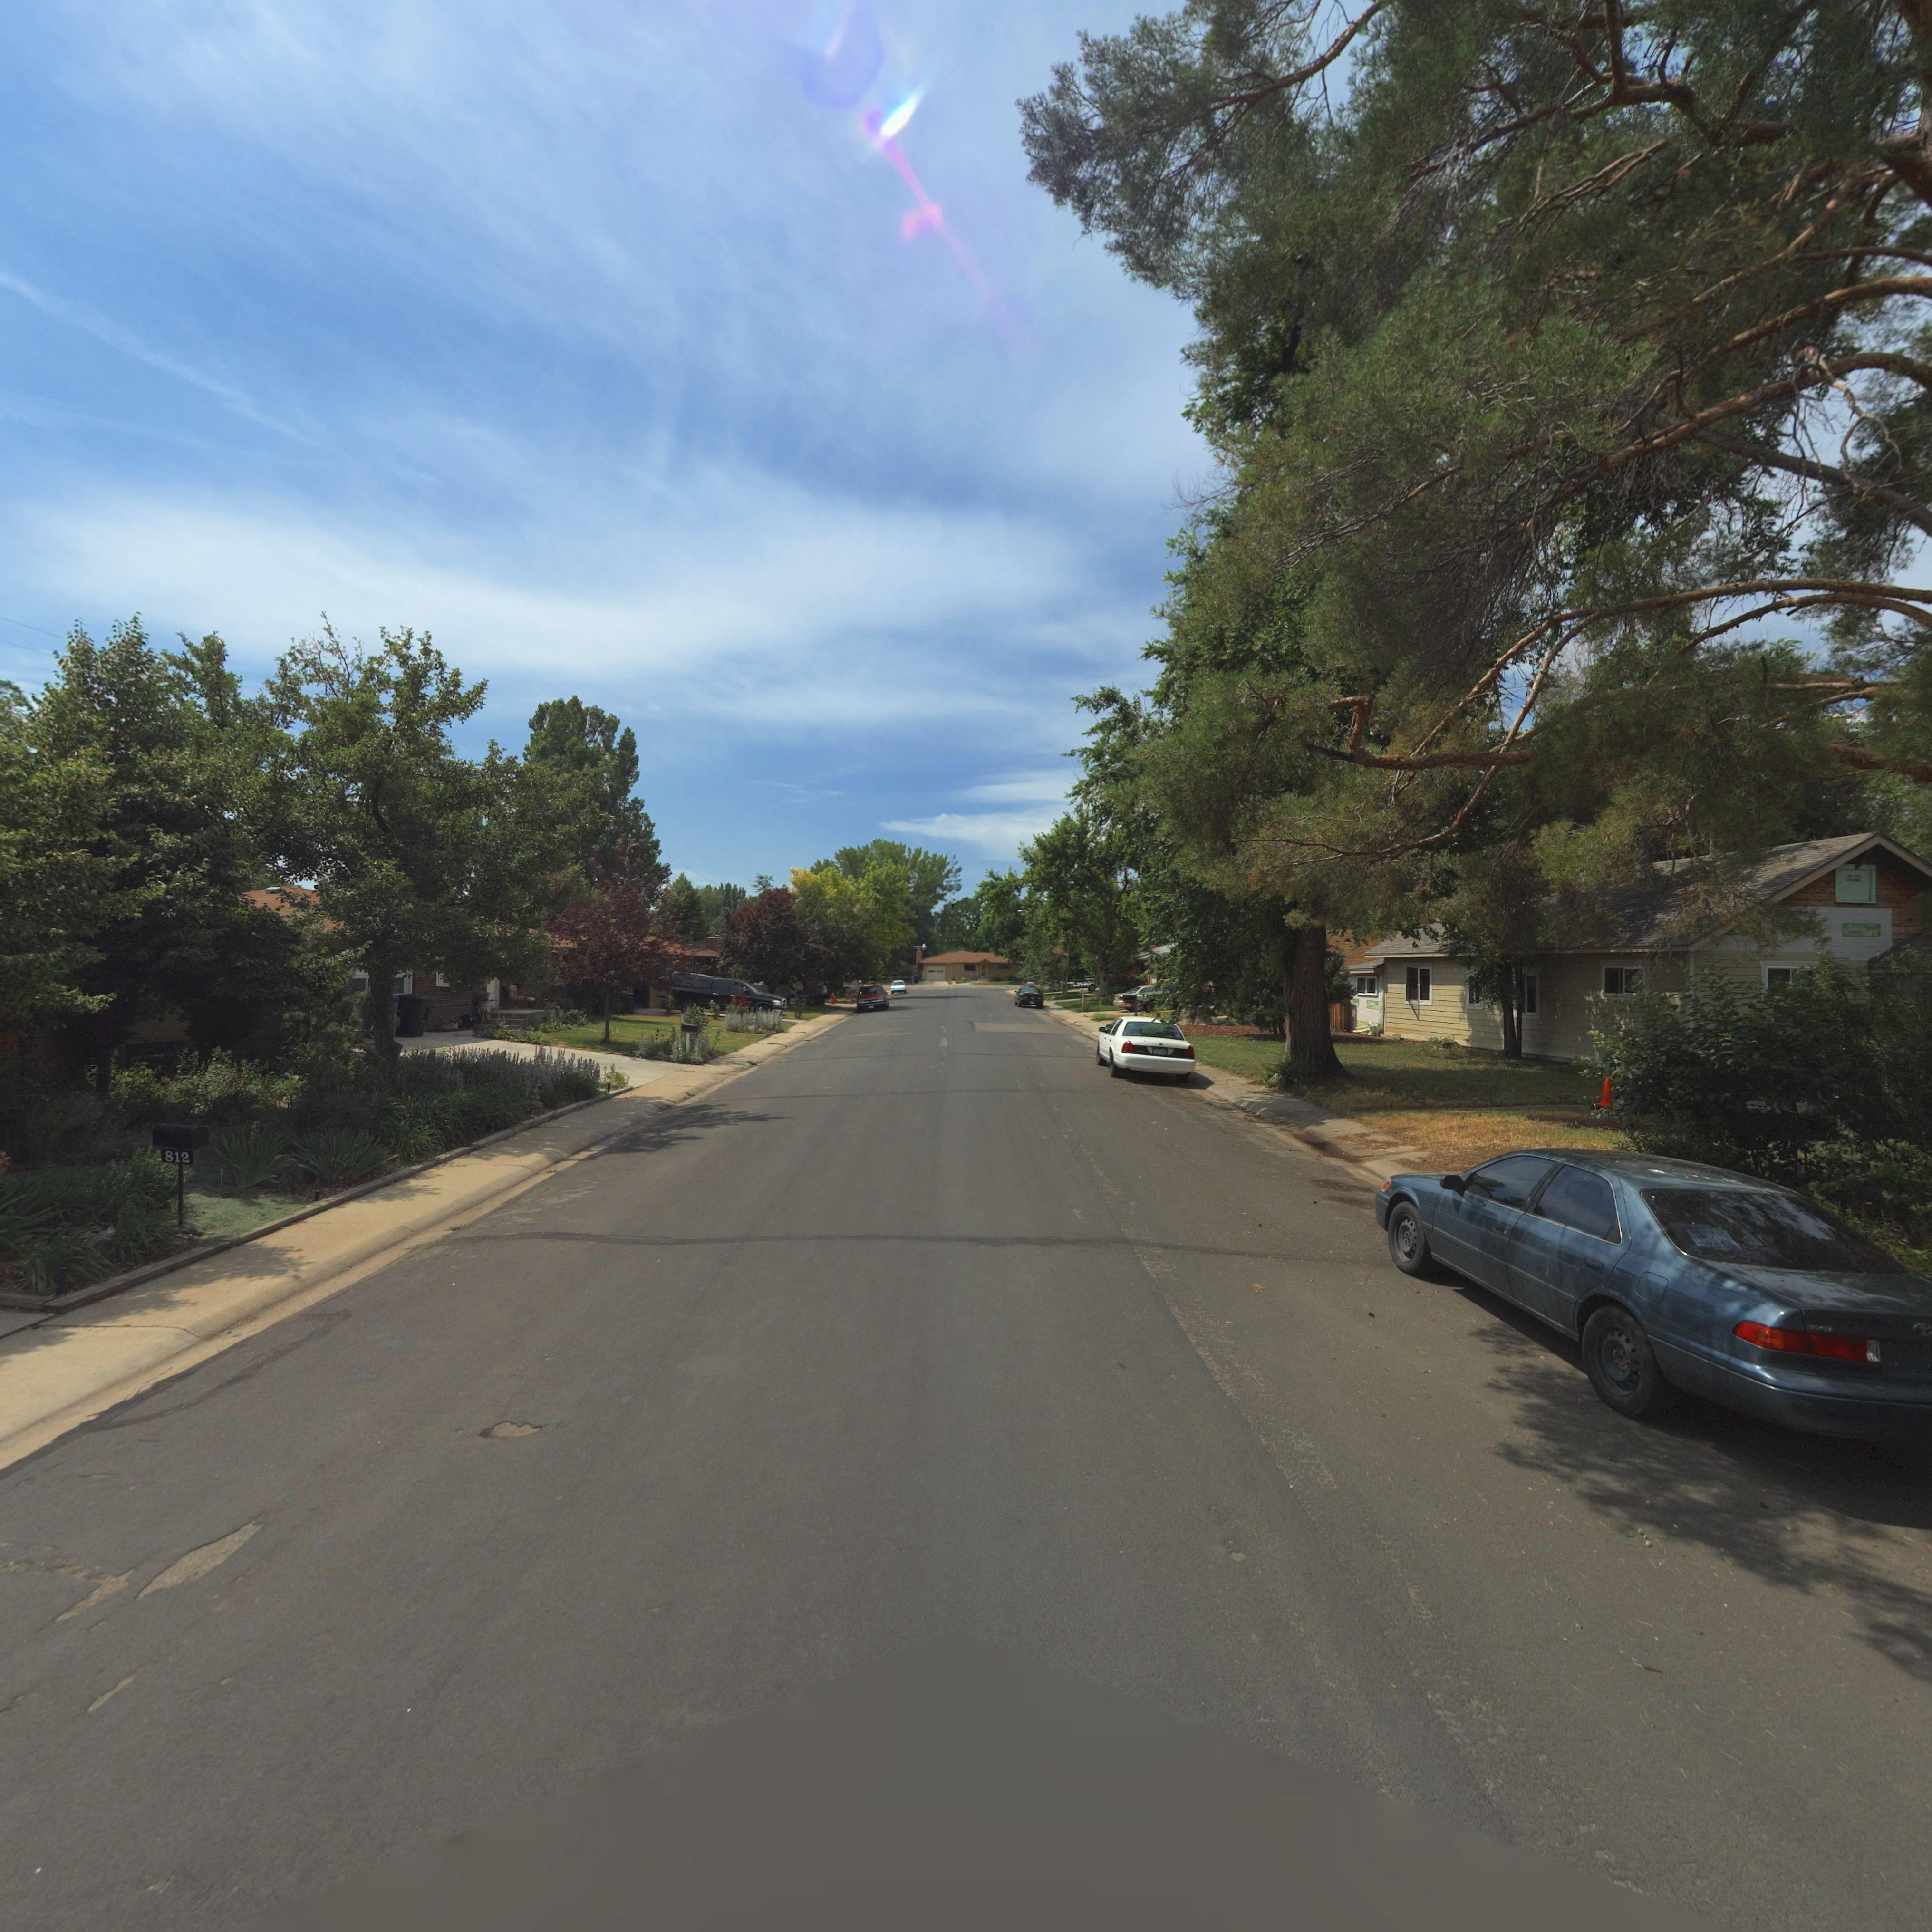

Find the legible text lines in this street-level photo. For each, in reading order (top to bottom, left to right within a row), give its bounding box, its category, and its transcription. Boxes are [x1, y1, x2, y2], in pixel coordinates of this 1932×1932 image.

[164, 1150, 190, 1163] StreetNumber: 812